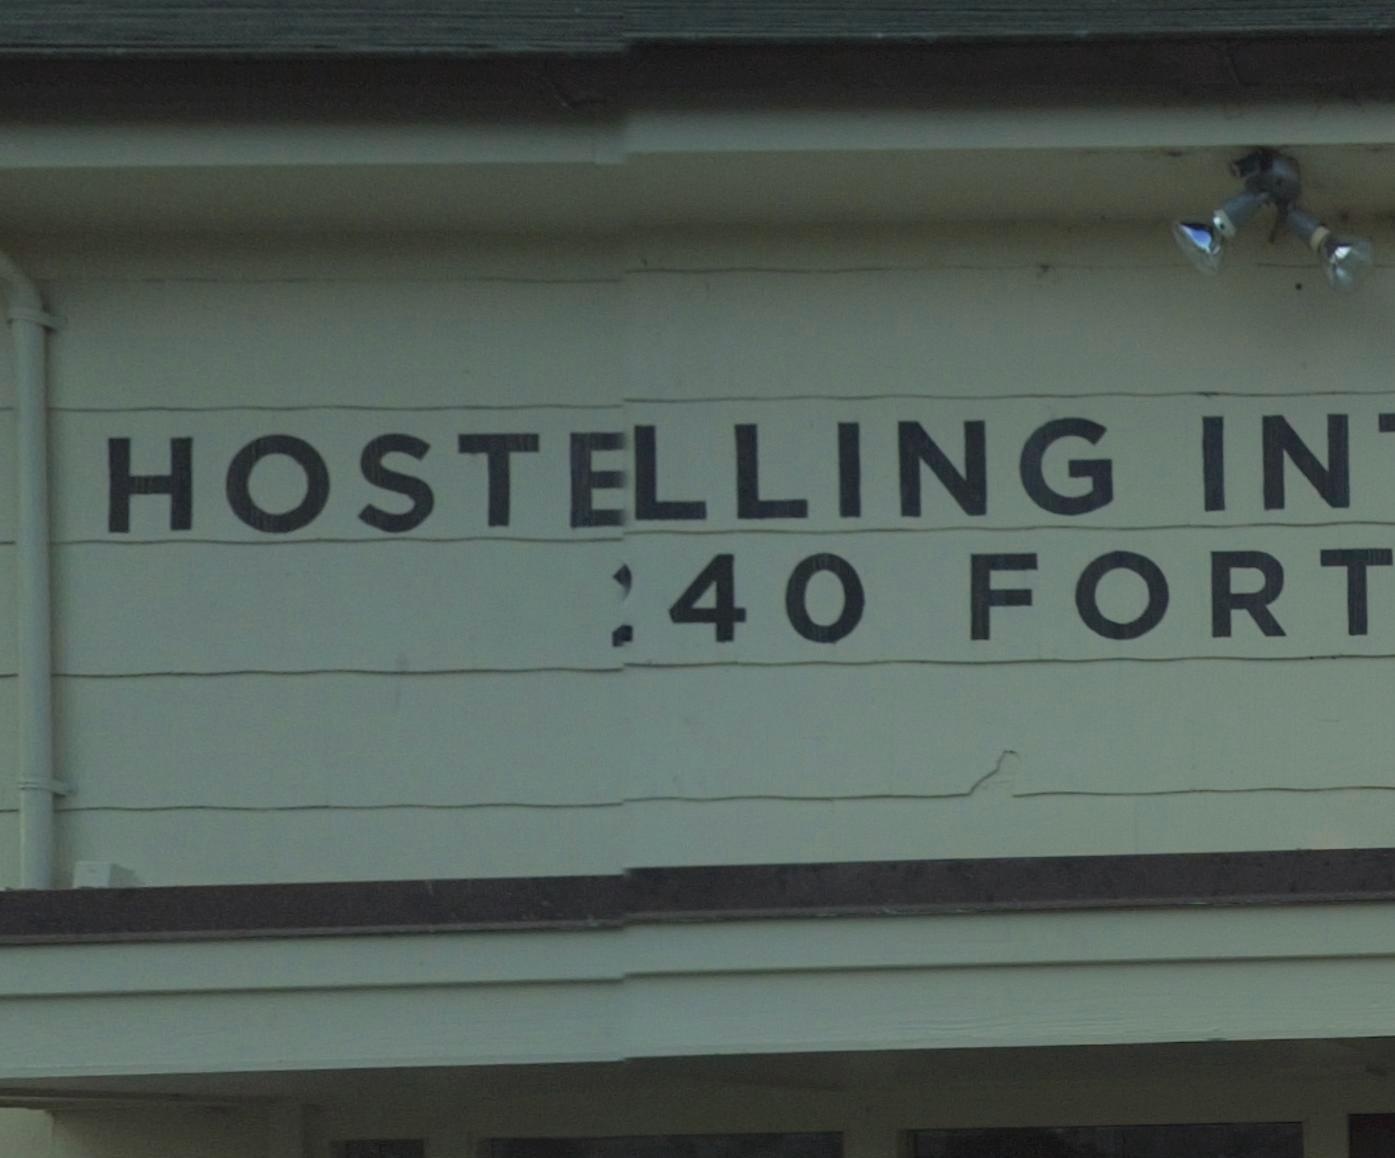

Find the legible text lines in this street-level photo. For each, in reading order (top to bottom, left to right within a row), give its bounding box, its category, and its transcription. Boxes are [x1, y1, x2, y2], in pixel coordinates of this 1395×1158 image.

[94, 403, 1359, 546] BusinessName: HOSTELLING IN
[595, 546, 871, 652] StreetNumber: *40
[965, 542, 1395, 645] StreetName: FORT